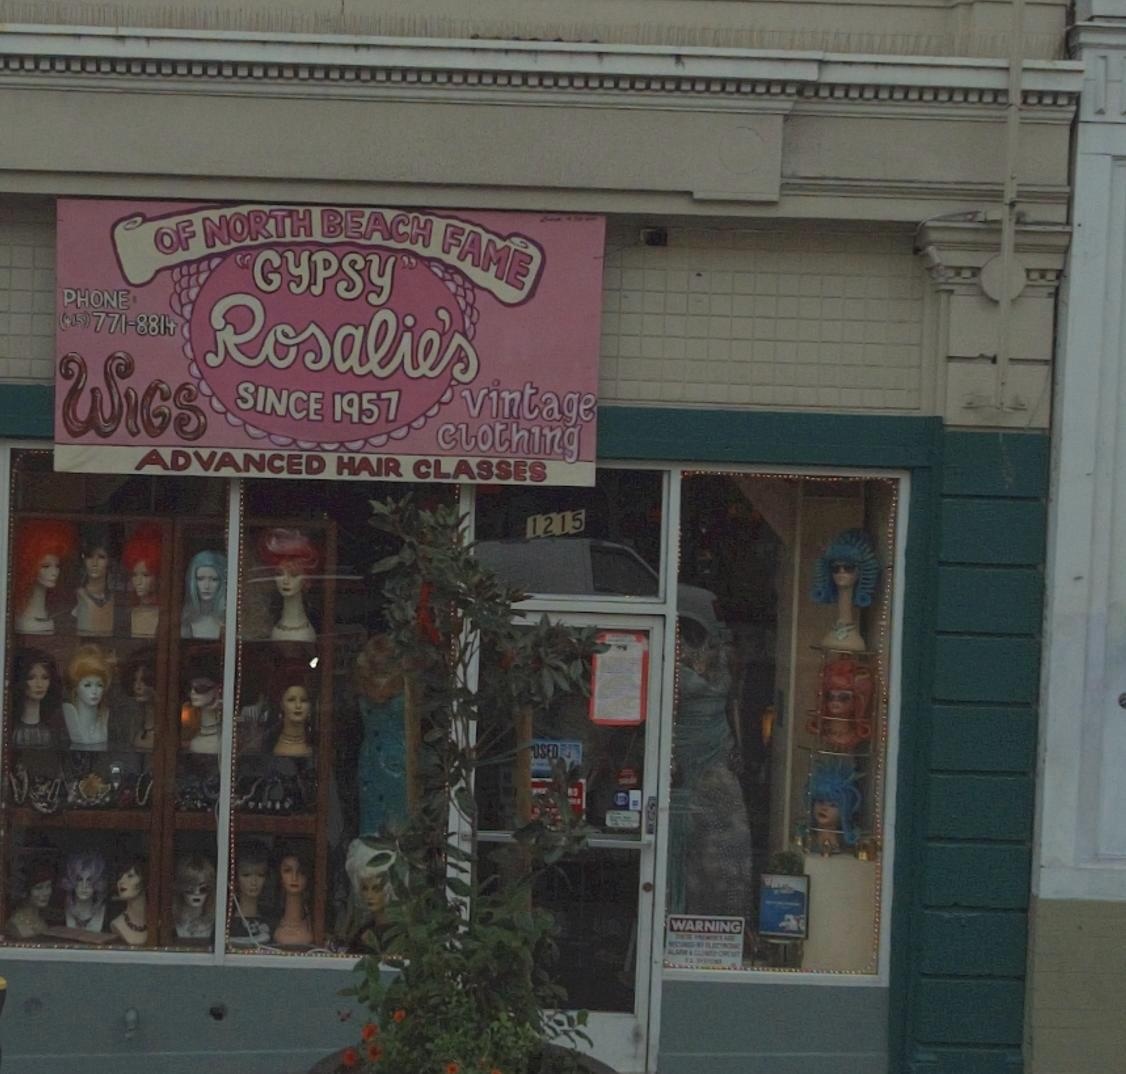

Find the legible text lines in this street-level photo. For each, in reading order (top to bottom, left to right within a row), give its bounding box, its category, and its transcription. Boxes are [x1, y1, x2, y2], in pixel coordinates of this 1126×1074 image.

[152, 208, 535, 292] None: OF NORTH BEACH FAME
[61, 287, 130, 311] None: PHONE
[251, 248, 398, 308] BusinessName: GYPSY
[58, 310, 178, 337] None: (415)771-8814
[202, 290, 480, 386] BusinessName: Rosalie's
[58, 350, 208, 443] None: WIGS
[234, 379, 402, 425] None: SINCE 1957
[459, 378, 598, 428] None: vintage
[132, 447, 547, 483] None: ADVANCED HAIR CLASSES
[436, 420, 583, 465] None: clothing
[530, 510, 584, 537] StreetNumber: 1215
[532, 742, 559, 760] None: OSED
[670, 918, 741, 934] None: WARNING